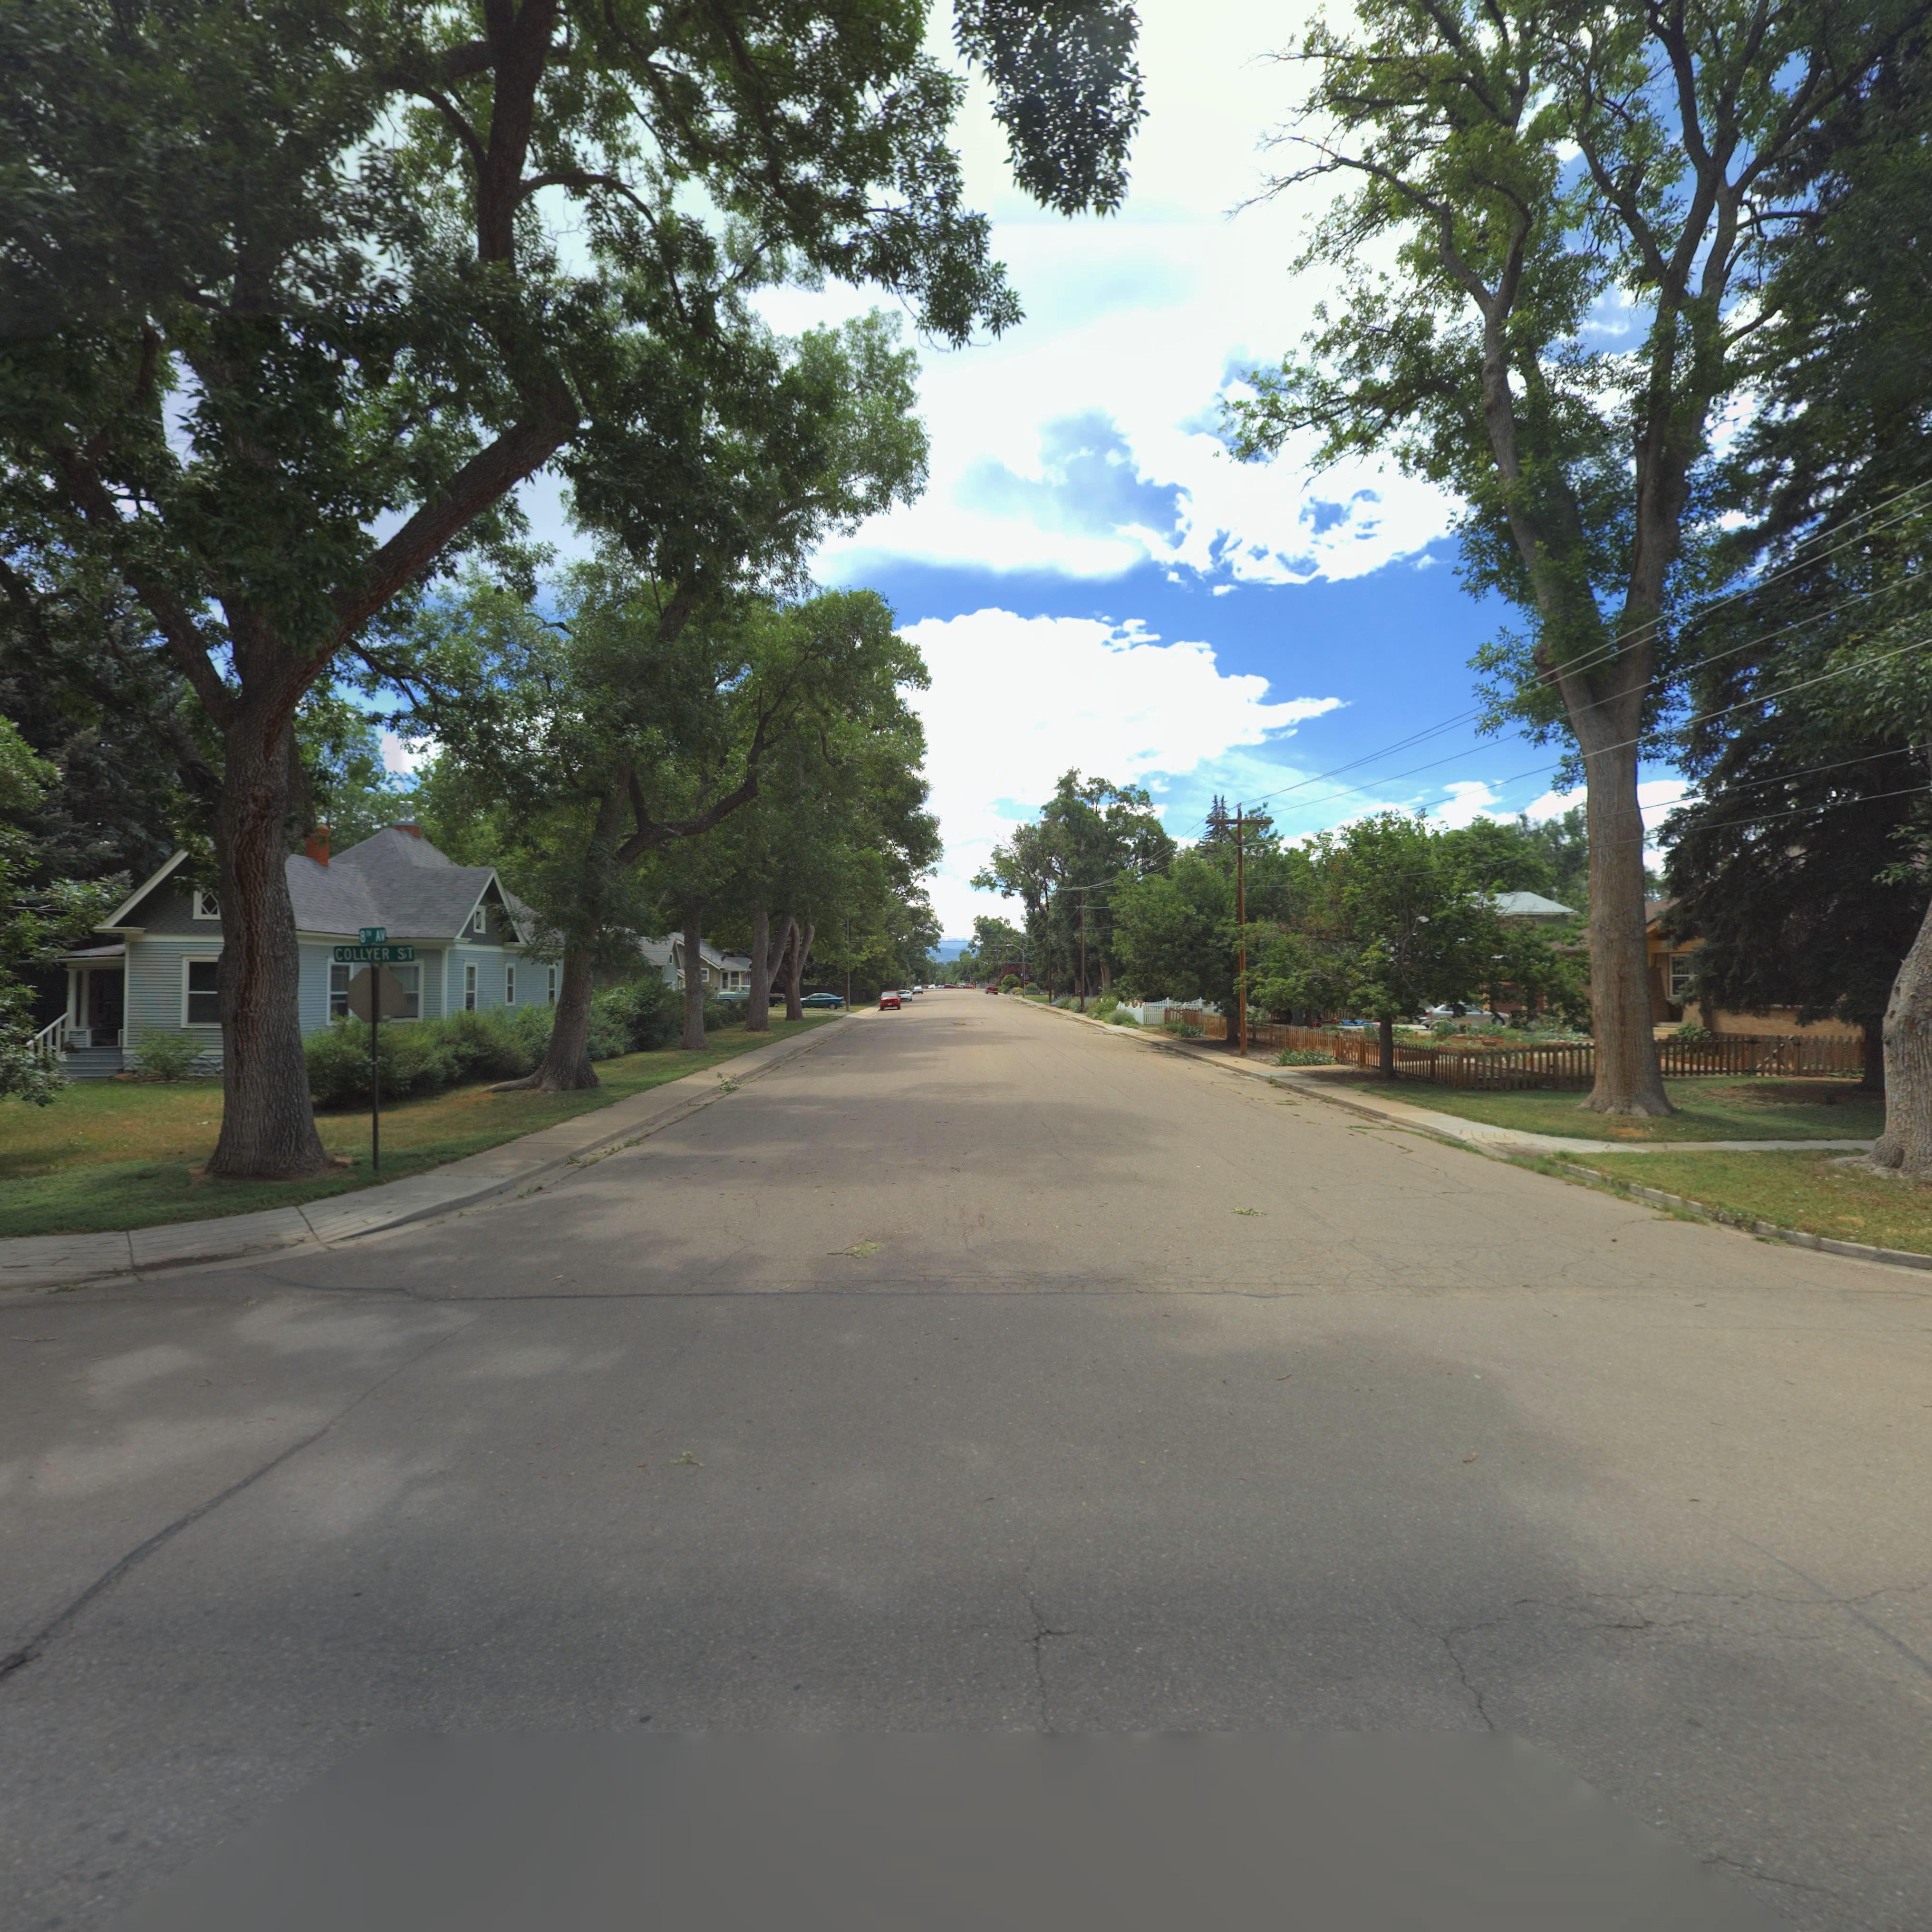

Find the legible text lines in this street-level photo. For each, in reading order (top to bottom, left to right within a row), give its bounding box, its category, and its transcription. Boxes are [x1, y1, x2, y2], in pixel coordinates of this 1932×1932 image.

[359, 929, 385, 944] StreetName: 8TH AV
[335, 947, 413, 960] StreetName: COLLYER ST